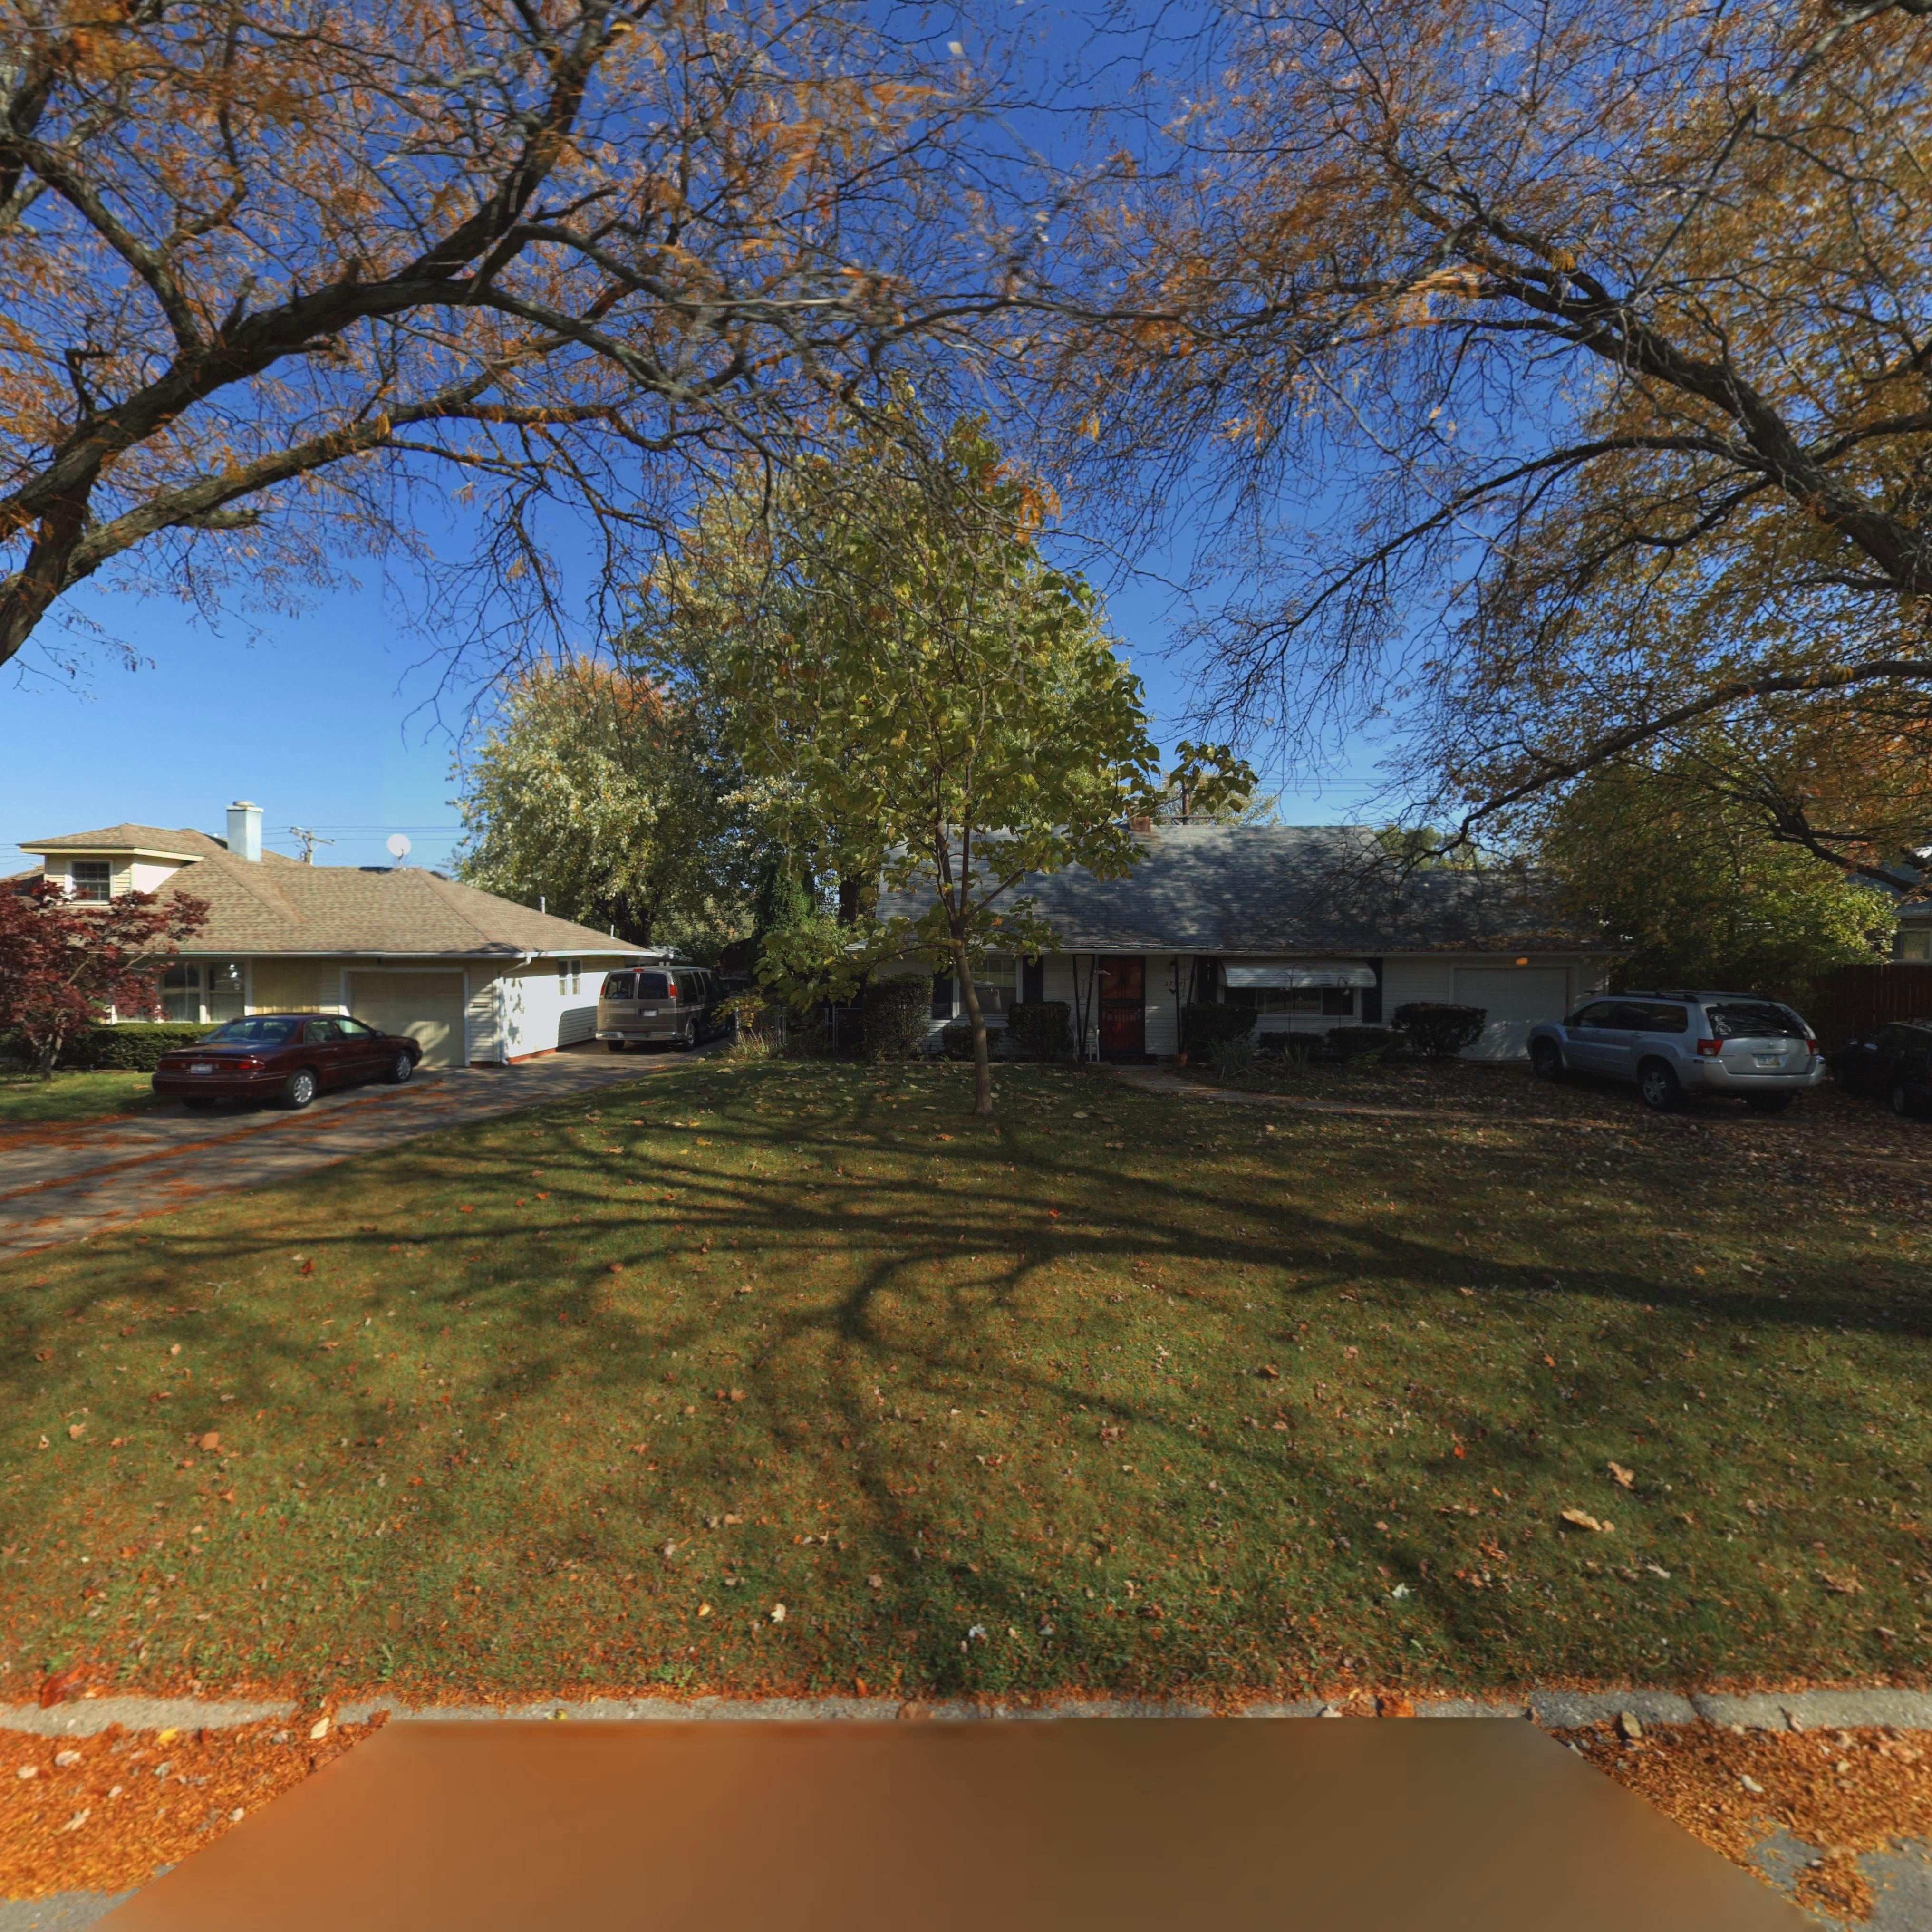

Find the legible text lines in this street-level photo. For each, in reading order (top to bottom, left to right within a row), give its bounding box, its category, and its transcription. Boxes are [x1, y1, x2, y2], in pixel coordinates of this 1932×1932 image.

[1163, 980, 1174, 987] StreetNumber: 37